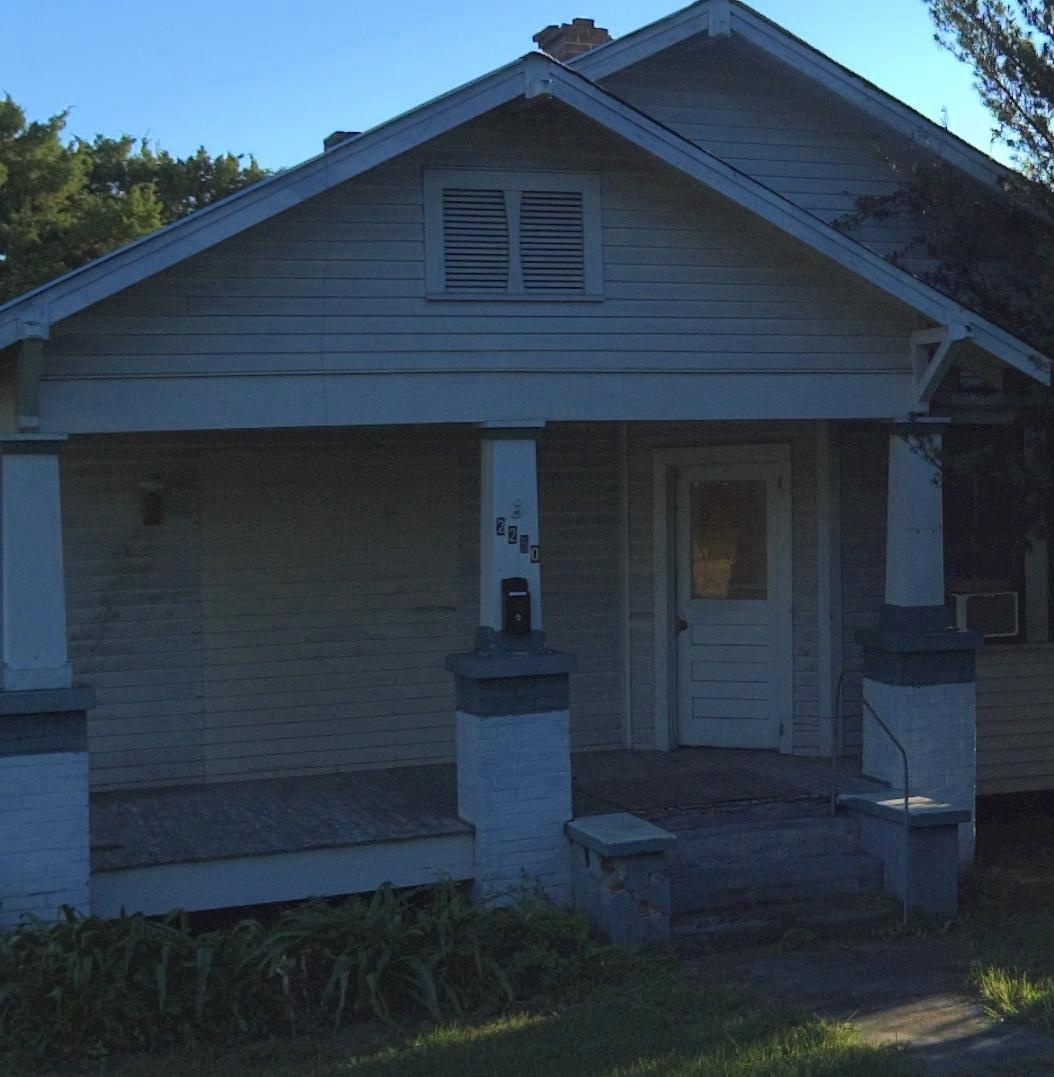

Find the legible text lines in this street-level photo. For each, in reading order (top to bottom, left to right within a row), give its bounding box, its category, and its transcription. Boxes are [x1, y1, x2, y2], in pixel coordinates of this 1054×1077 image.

[496, 517, 540, 563] StreetNumber: 2260